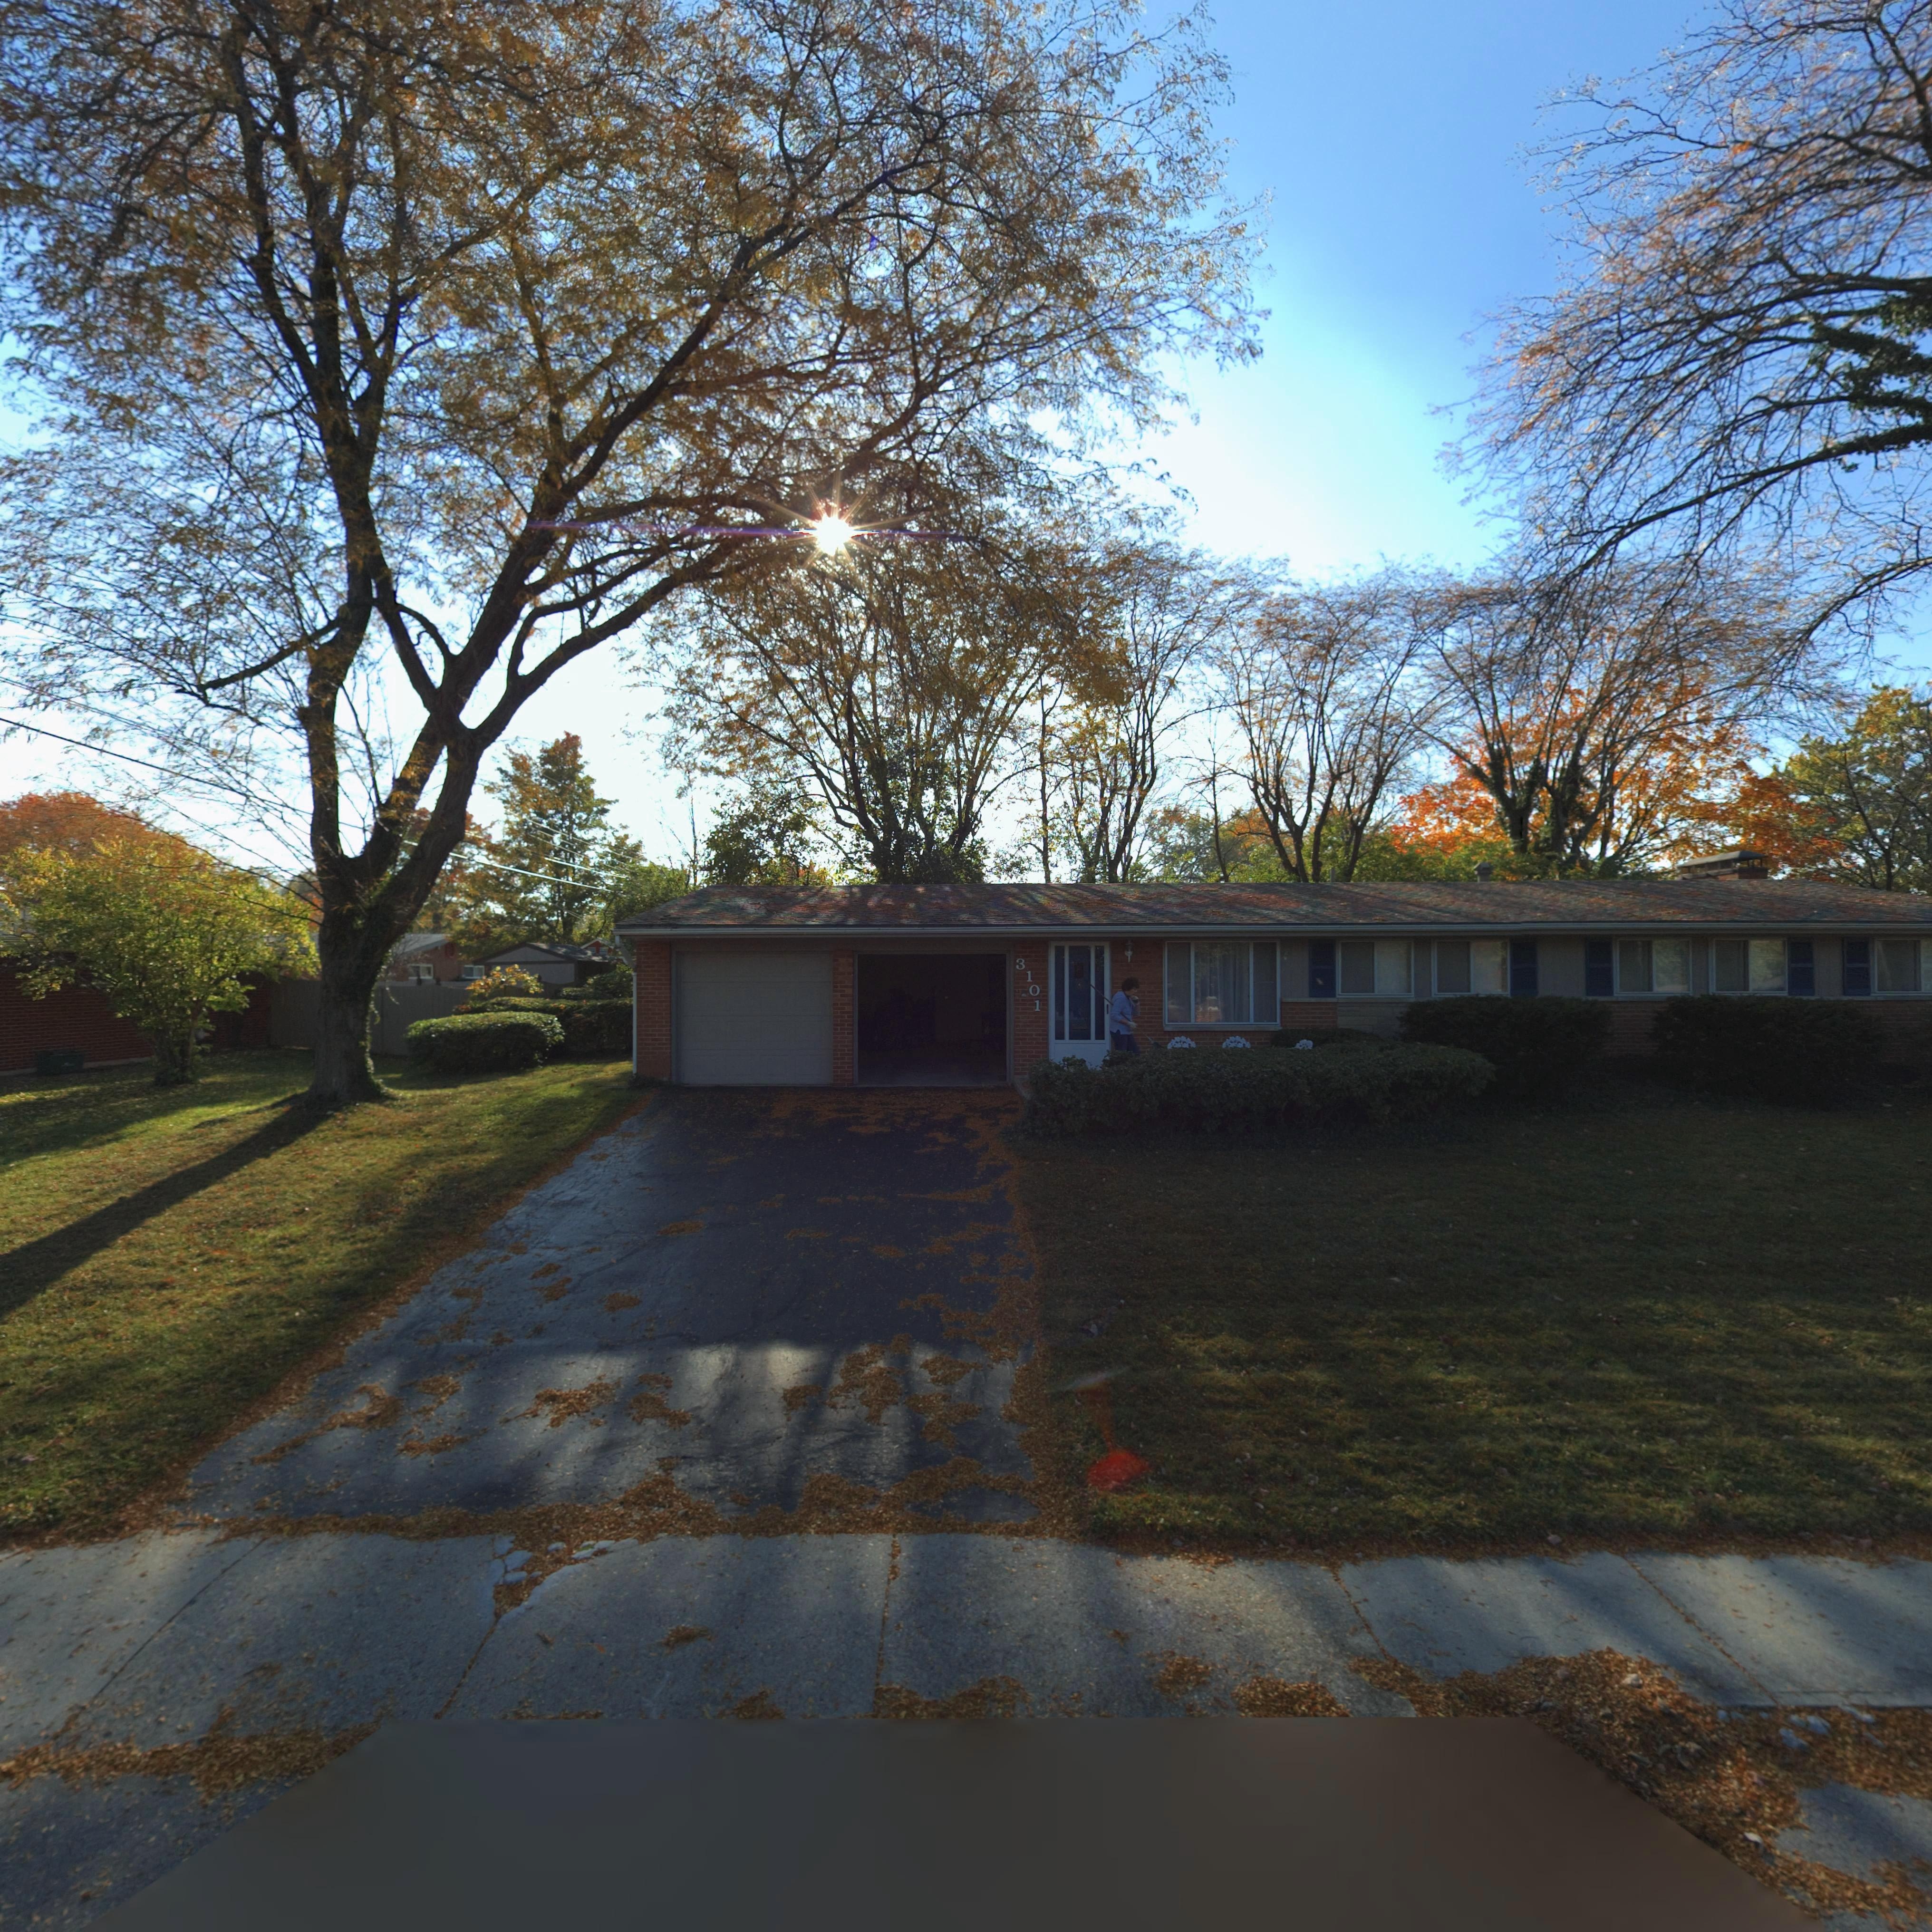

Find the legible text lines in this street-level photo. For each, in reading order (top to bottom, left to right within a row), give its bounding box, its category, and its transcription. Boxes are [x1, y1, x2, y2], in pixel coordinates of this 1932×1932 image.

[1015, 957, 1043, 1012] StreetNumber: 3101